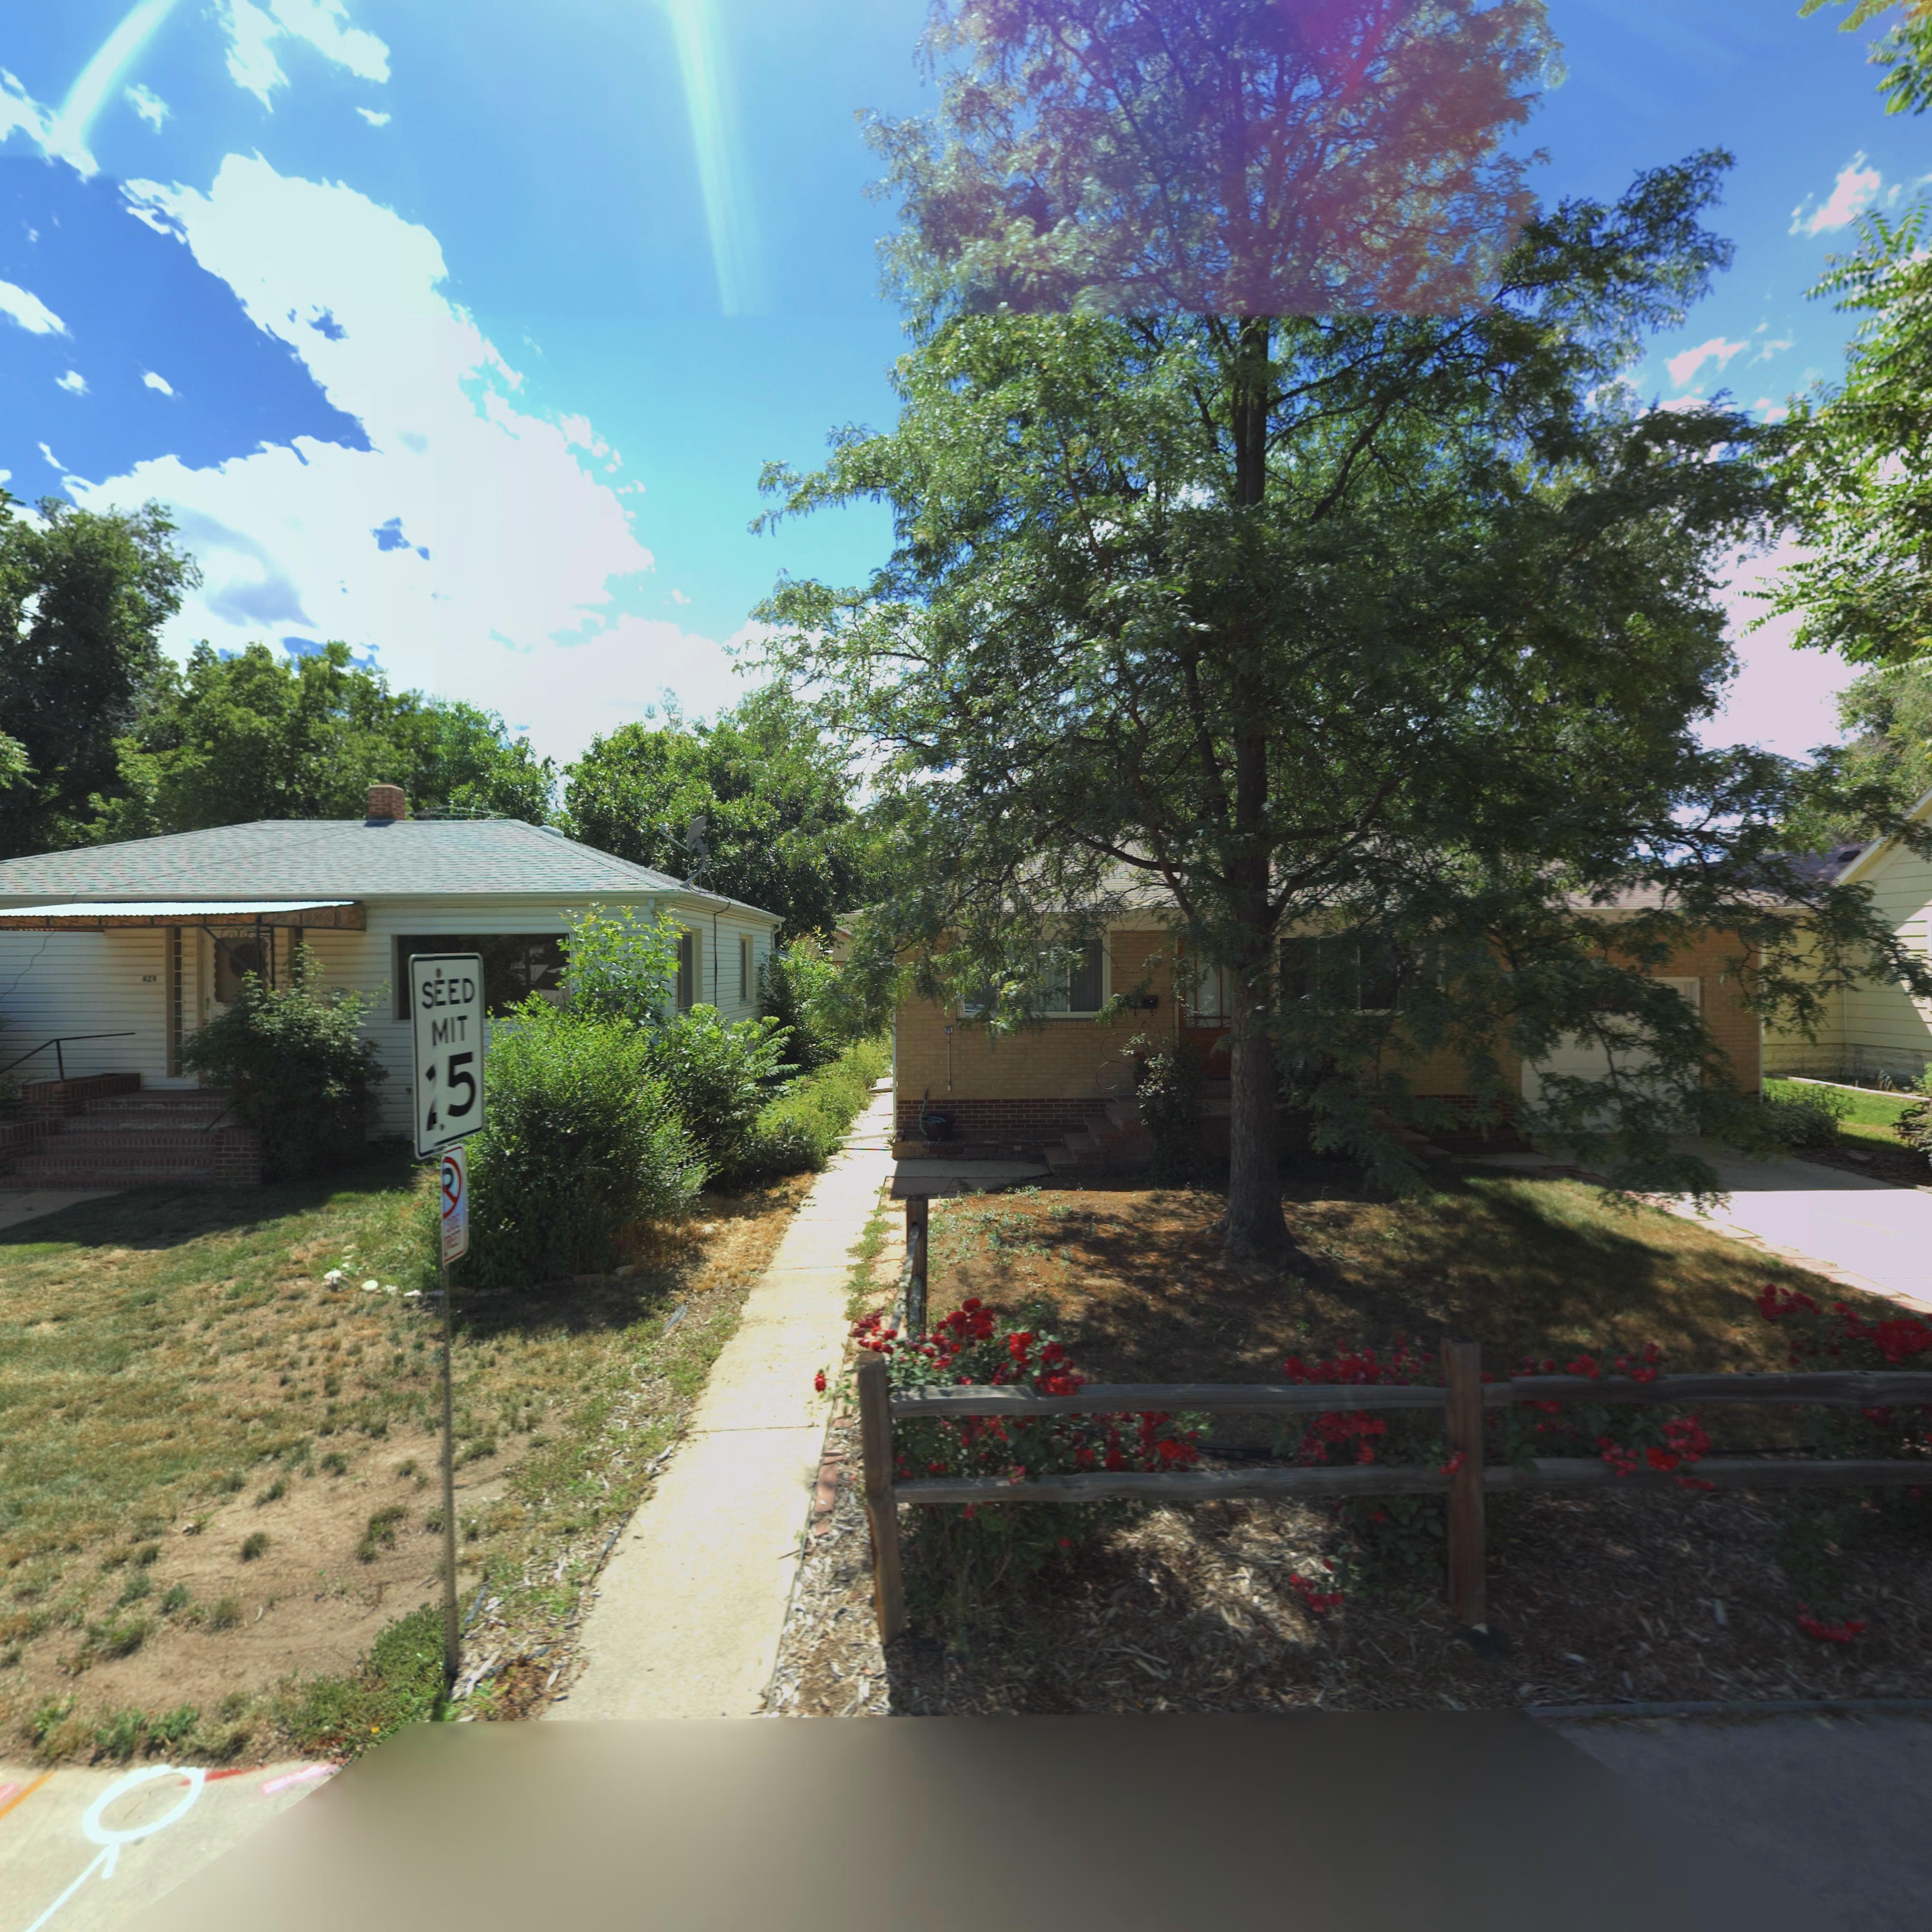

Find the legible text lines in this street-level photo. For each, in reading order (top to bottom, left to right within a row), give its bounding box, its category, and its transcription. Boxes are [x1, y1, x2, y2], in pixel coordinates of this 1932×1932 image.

[143, 975, 157, 982] StreetNumber: 429